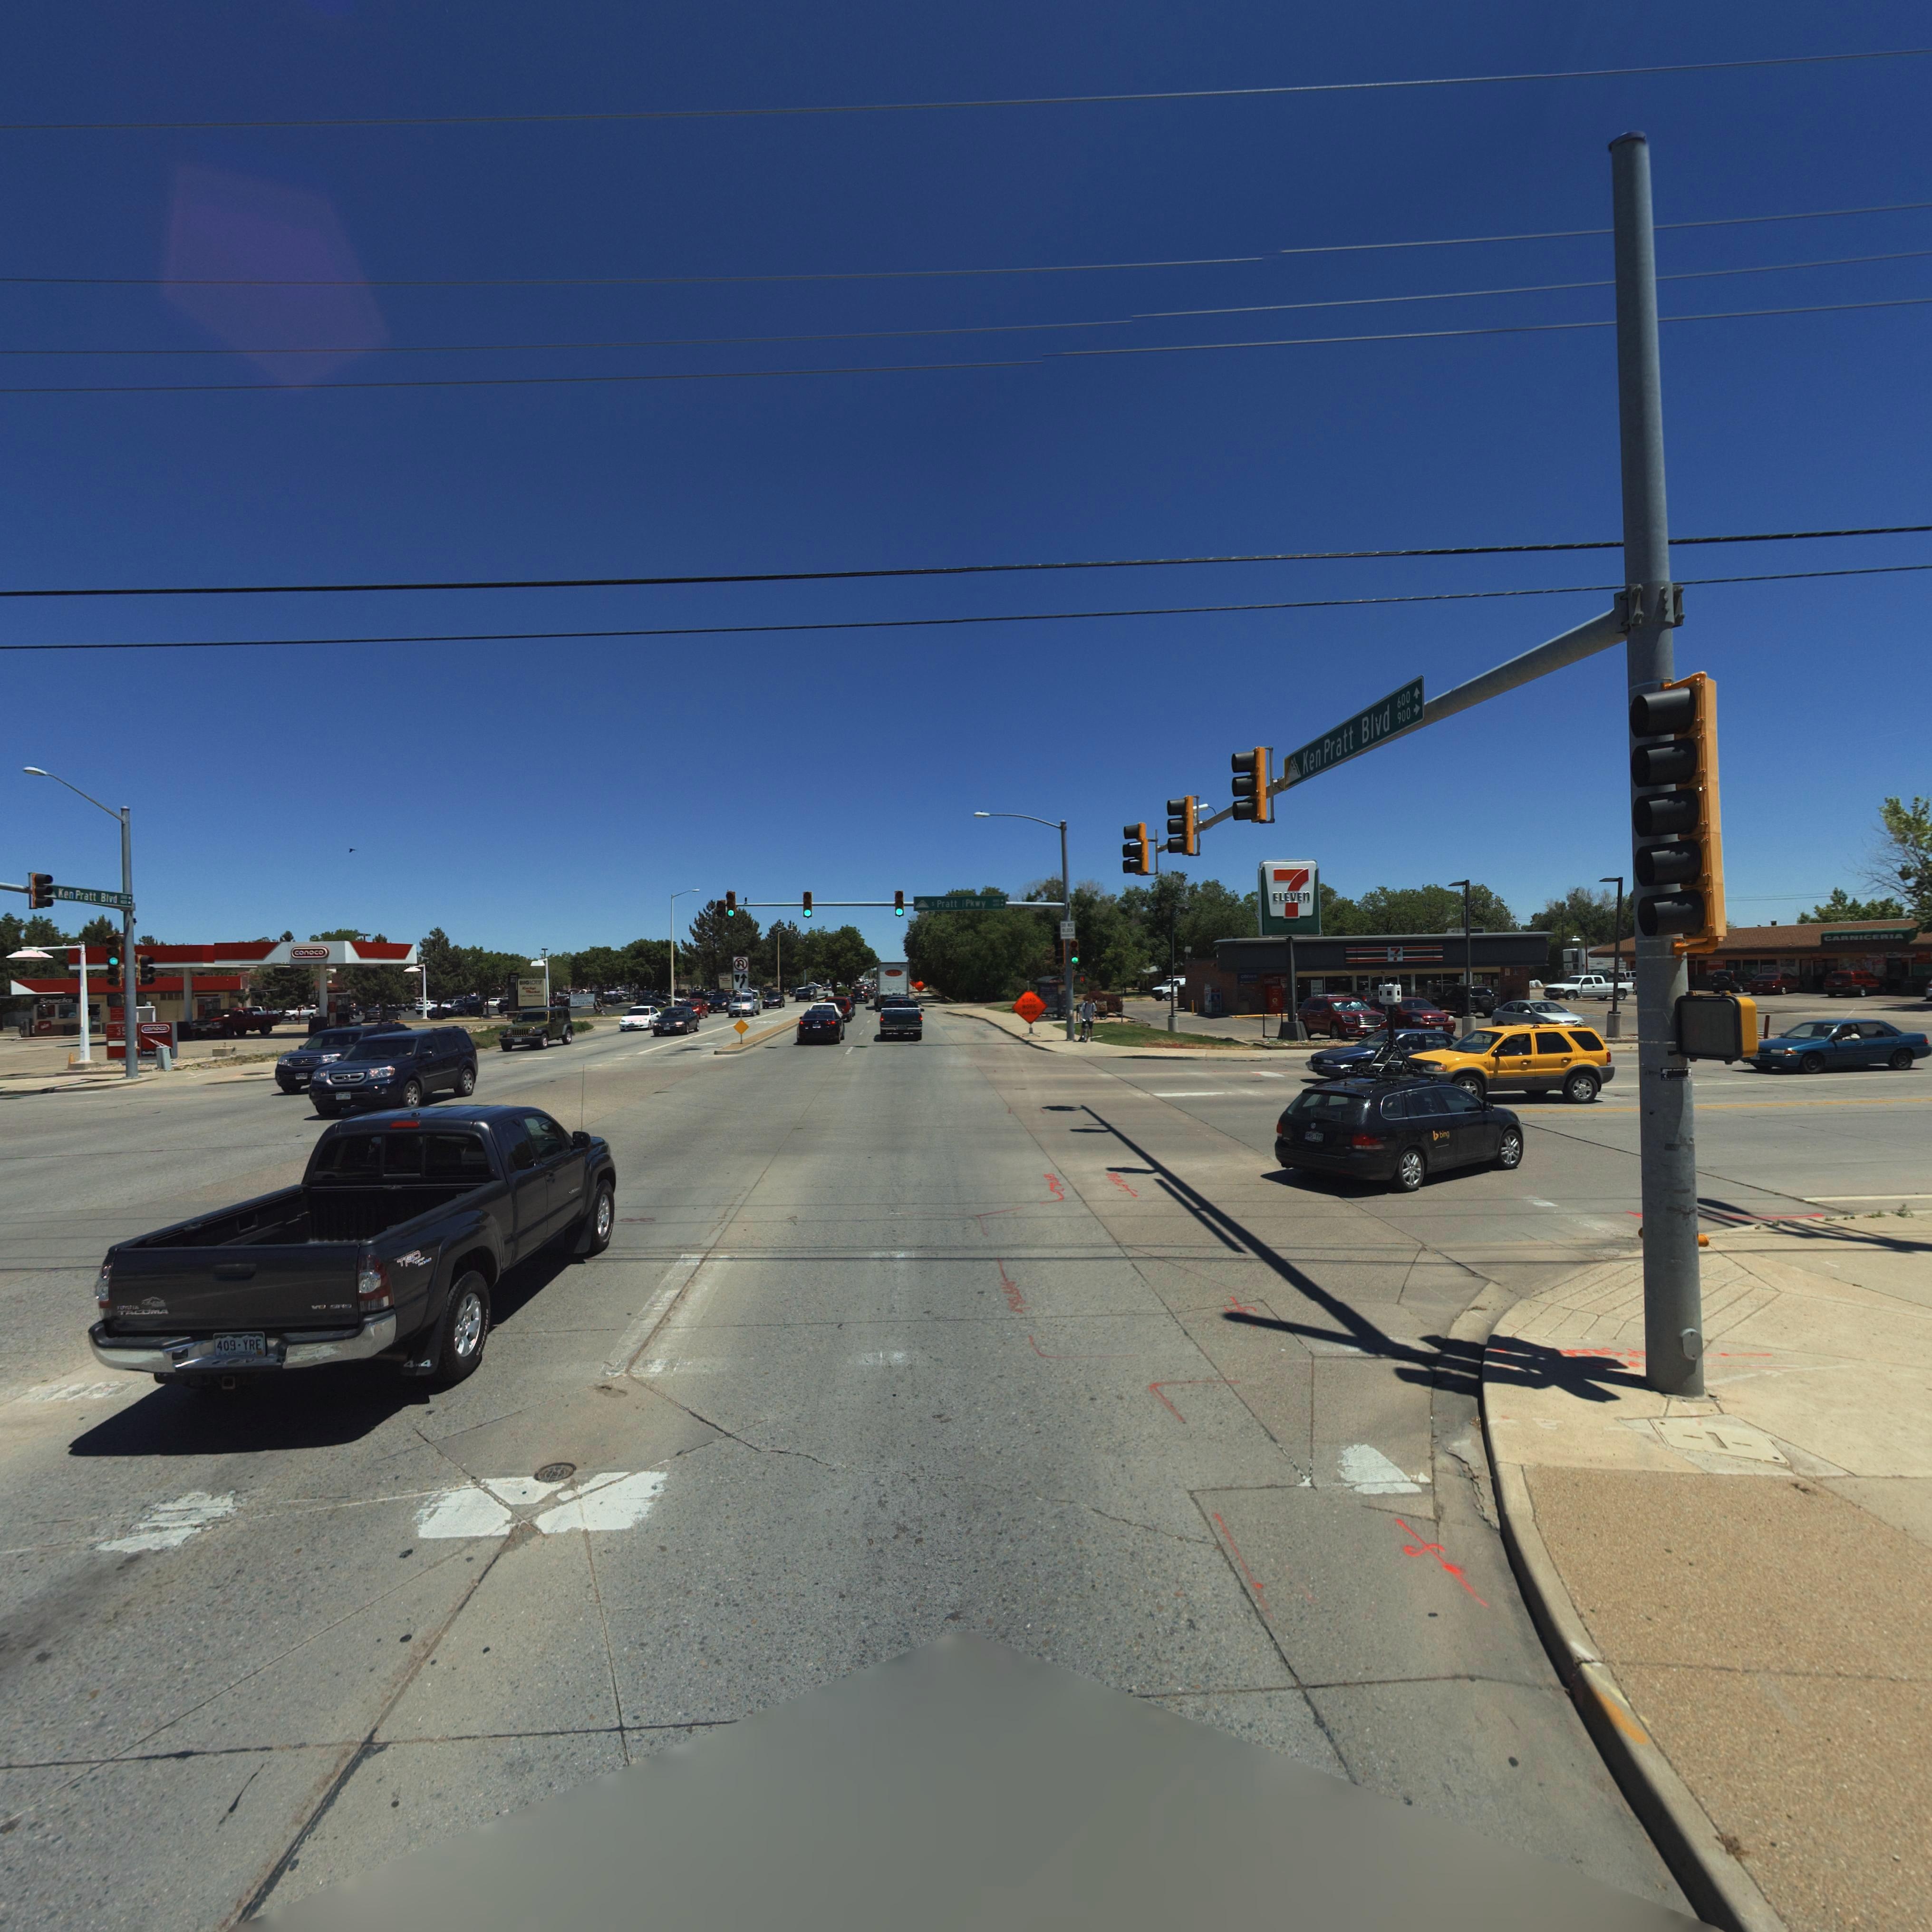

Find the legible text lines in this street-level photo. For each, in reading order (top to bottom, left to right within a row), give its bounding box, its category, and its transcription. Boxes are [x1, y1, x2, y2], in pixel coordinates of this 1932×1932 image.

[1396, 690, 1410, 708] StreetNumberRange: 600
[1396, 702, 1421, 724] StreetNumberRange: 900->
[1302, 702, 1390, 775] StreetName: Ken Pratt Blvd
[58, 887, 117, 905] StreetName: Ken Pratt Blvd
[1273, 867, 1309, 919] BusinessName: 7
[1272, 891, 1311, 902] BusinessName: ELEVEn
[931, 898, 986, 908] BusinessName: * Pratt *Pkwy
[294, 950, 324, 955] BusinessName: conoco
[1390, 947, 1401, 961] BusinessName: 7
[520, 980, 540, 985] BusinessName: BIG*OT**
[143, 1026, 167, 1031] BusinessName: c**o**